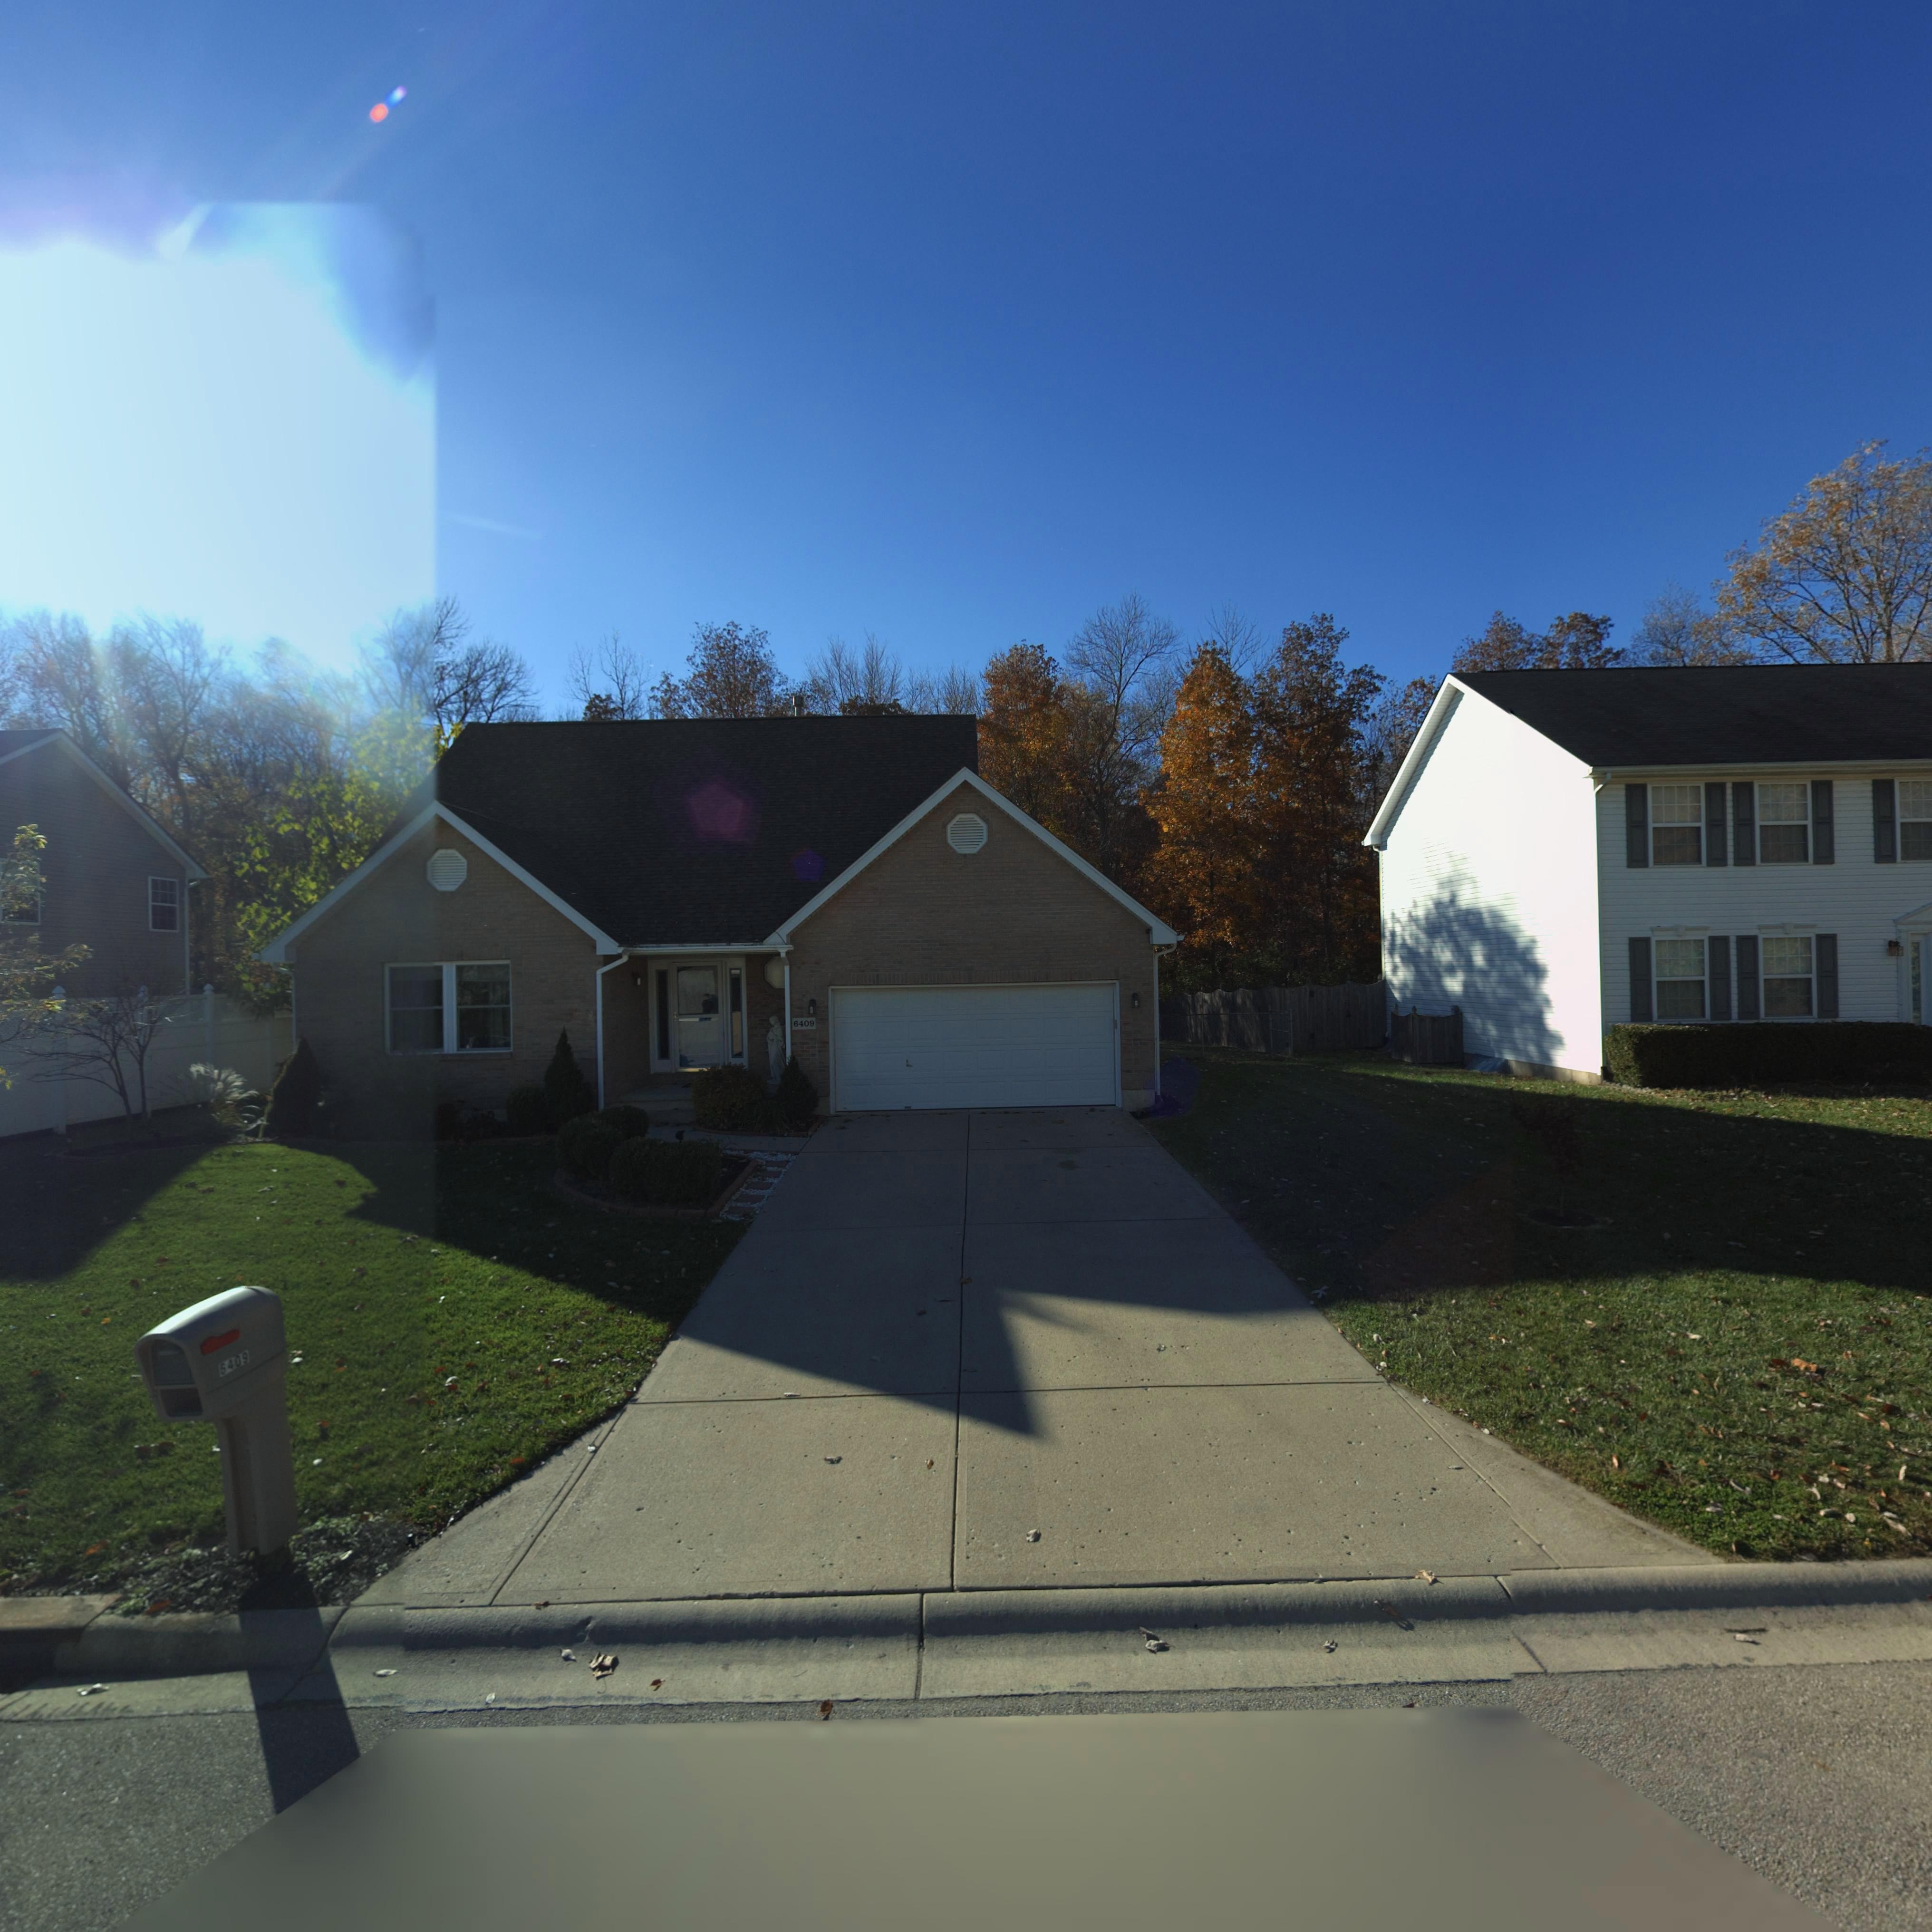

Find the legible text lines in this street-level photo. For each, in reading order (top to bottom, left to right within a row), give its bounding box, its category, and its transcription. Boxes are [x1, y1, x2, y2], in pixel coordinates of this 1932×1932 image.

[792, 1019, 815, 1028] StreetNumber: 6409
[218, 1349, 250, 1377] StreetNumber: 6409